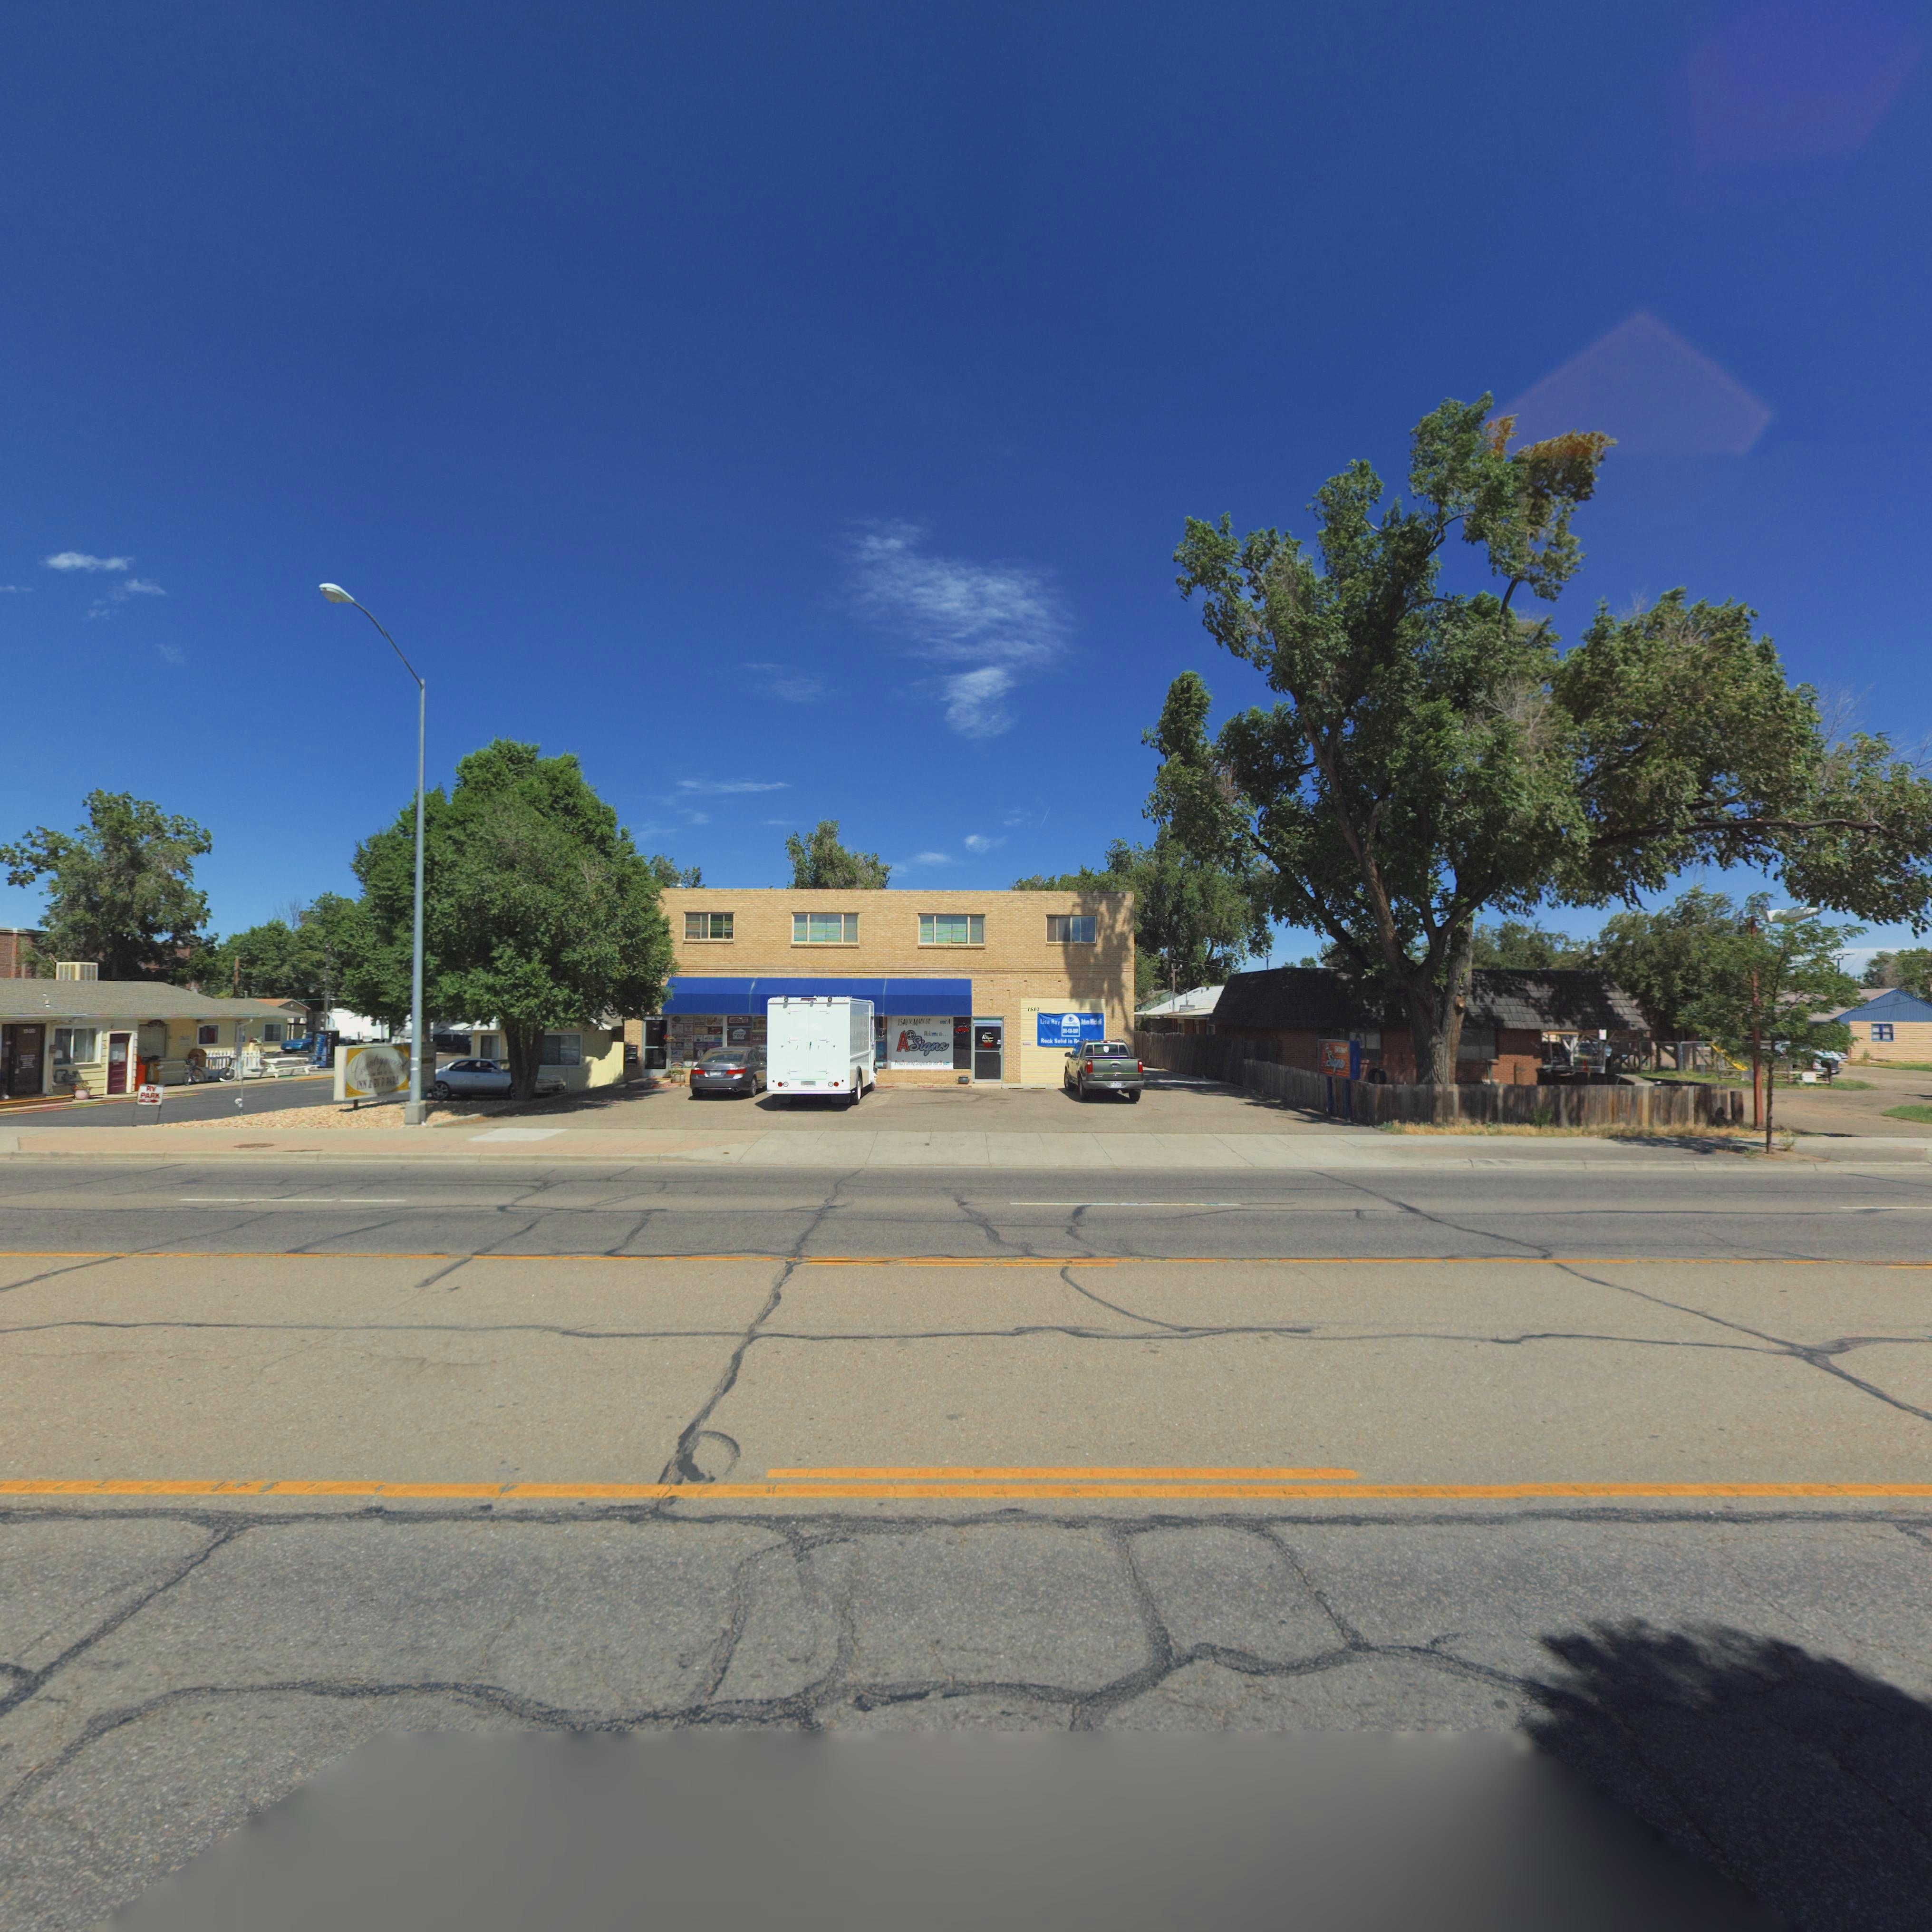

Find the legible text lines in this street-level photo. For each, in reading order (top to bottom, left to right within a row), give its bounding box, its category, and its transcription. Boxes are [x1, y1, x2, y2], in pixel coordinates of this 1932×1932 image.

[1027, 1006, 1039, 1012] StreetNumber: 1540
[897, 1018, 908, 1026] StreetNumber: 1540
[908, 1018, 930, 1026] StreetName: N. MAIN ST.
[939, 1018, 950, 1024] SecondaryUnitDesignator: unit A
[22, 1028, 35, 1034] StreetNumber: 13**
[982, 1034, 994, 1040] BusinessName: AS****
[895, 1029, 950, 1056] BusinessName: ASigns
[1320, 1043, 1345, 1073] BusinessName: ASigns
[349, 1051, 408, 1080] BusinessName: Coun**ywood
[357, 1075, 400, 1090] BusinessName: Inn & RV Park